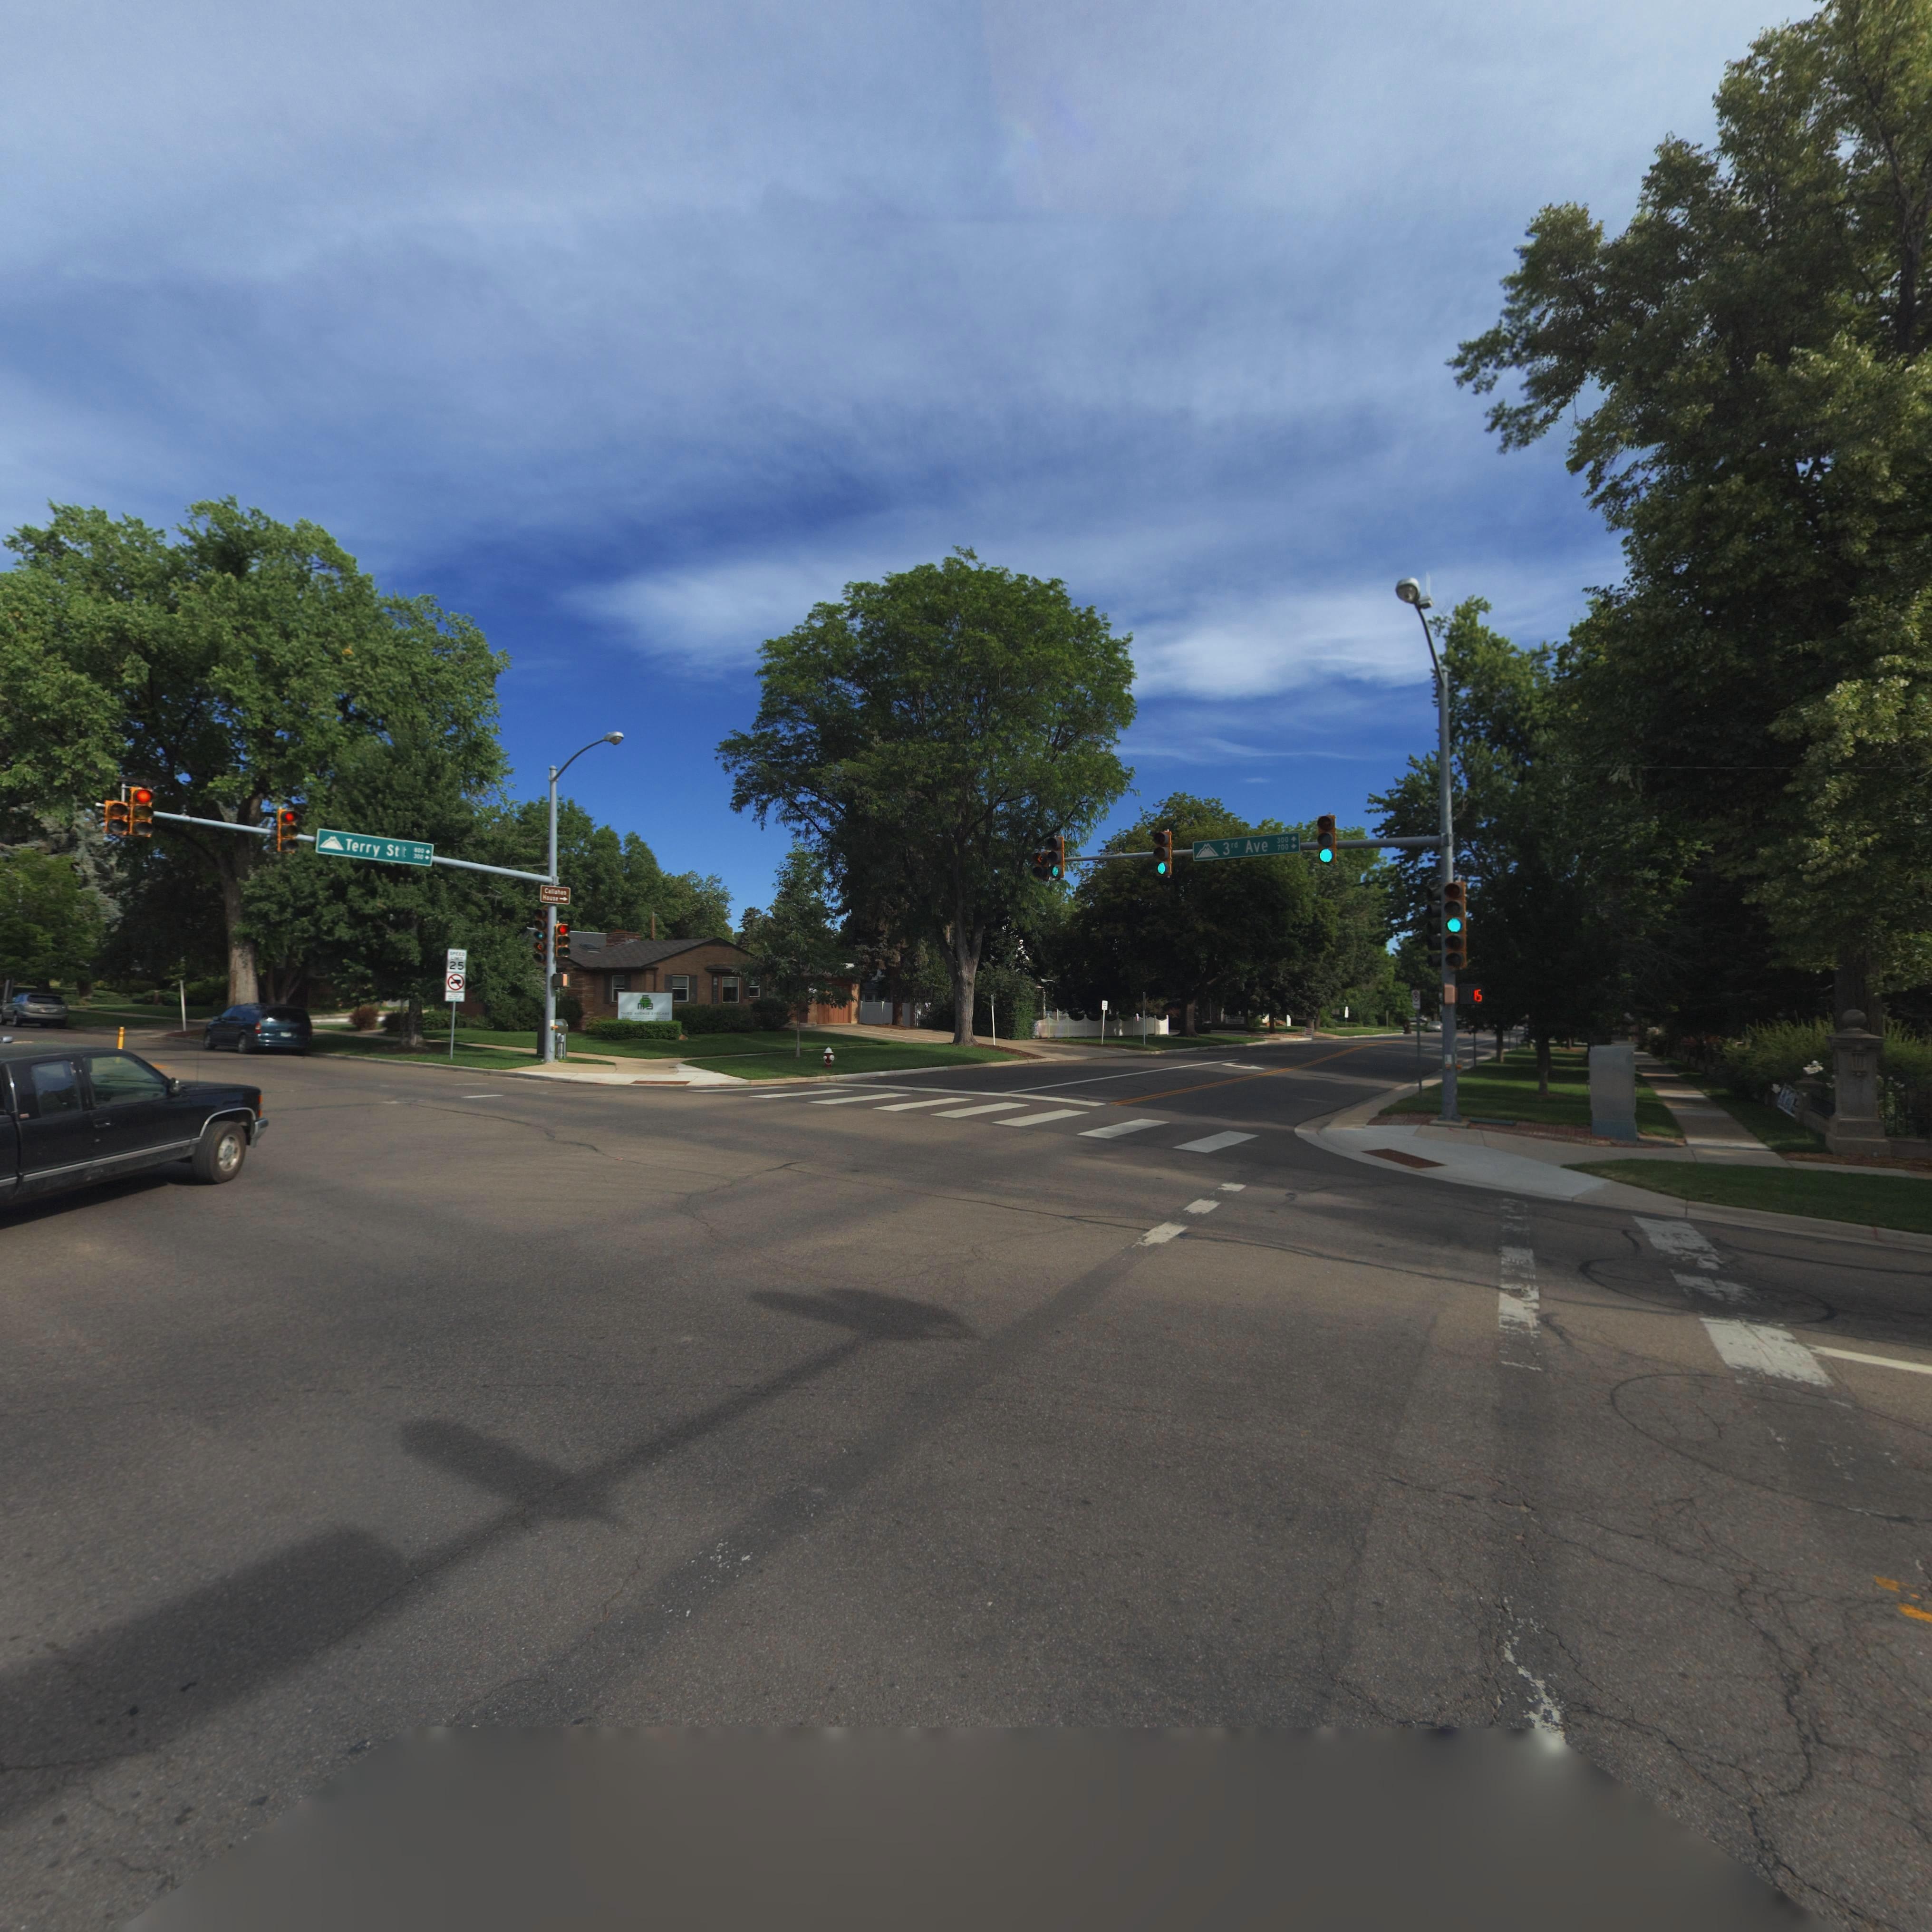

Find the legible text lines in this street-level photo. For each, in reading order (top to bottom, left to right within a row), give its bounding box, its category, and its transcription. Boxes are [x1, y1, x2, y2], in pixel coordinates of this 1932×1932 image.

[1276, 836, 1289, 843] StreetNumberRange: 300
[344, 837, 402, 858] StreetName: Terry St
[413, 847, 425, 853] StreetNumberRange: 800
[1221, 839, 1270, 856] StreetName: 3rd Ave
[1276, 843, 1297, 850] StreetNumberRange: 700->
[413, 852, 431, 860] StreetNumberRange: 300->
[620, 1011, 669, 1015] BusinessName: THIRD AVENUE EYECARE